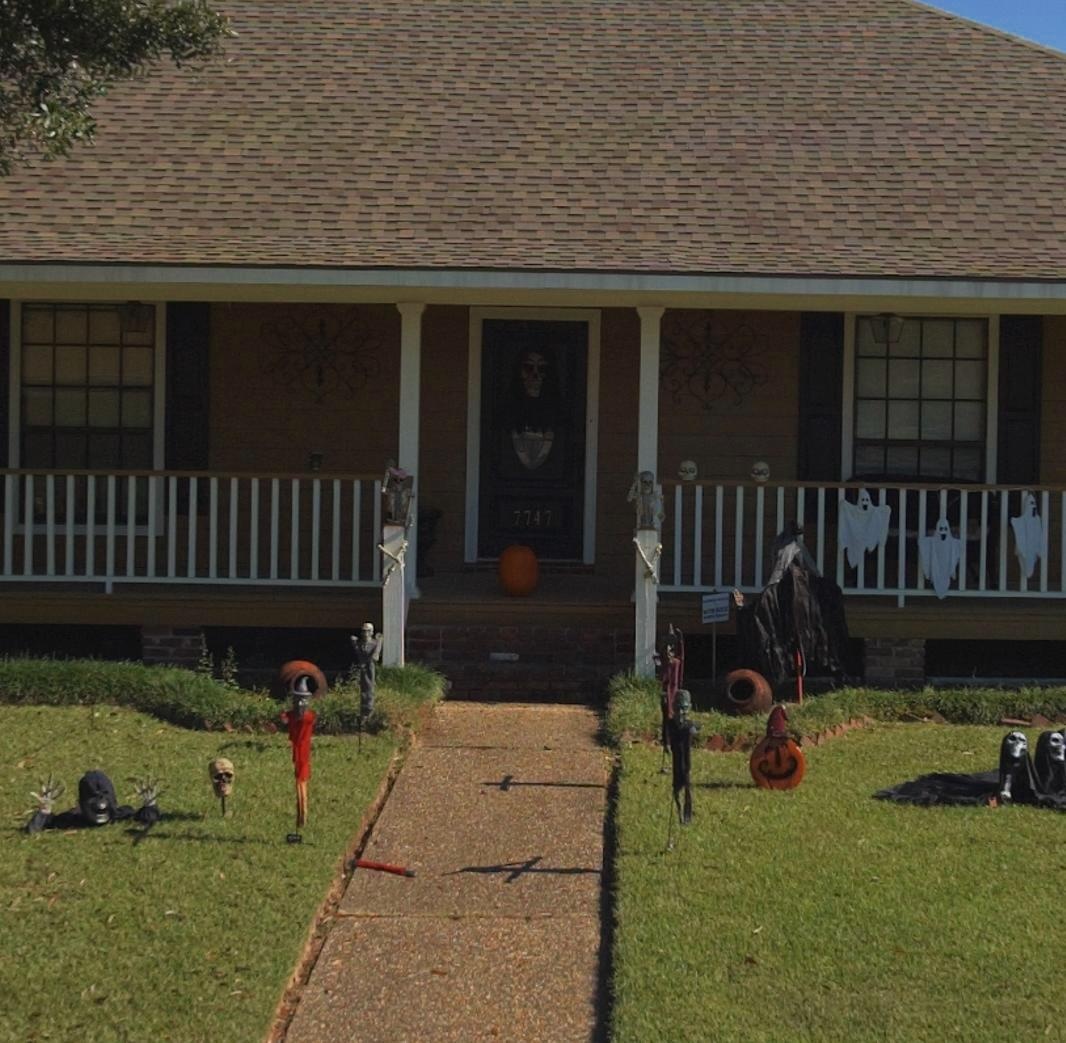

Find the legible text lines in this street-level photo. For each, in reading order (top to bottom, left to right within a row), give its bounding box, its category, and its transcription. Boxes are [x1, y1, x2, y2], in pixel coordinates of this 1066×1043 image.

[512, 508, 554, 527] StreetNumber: 7747